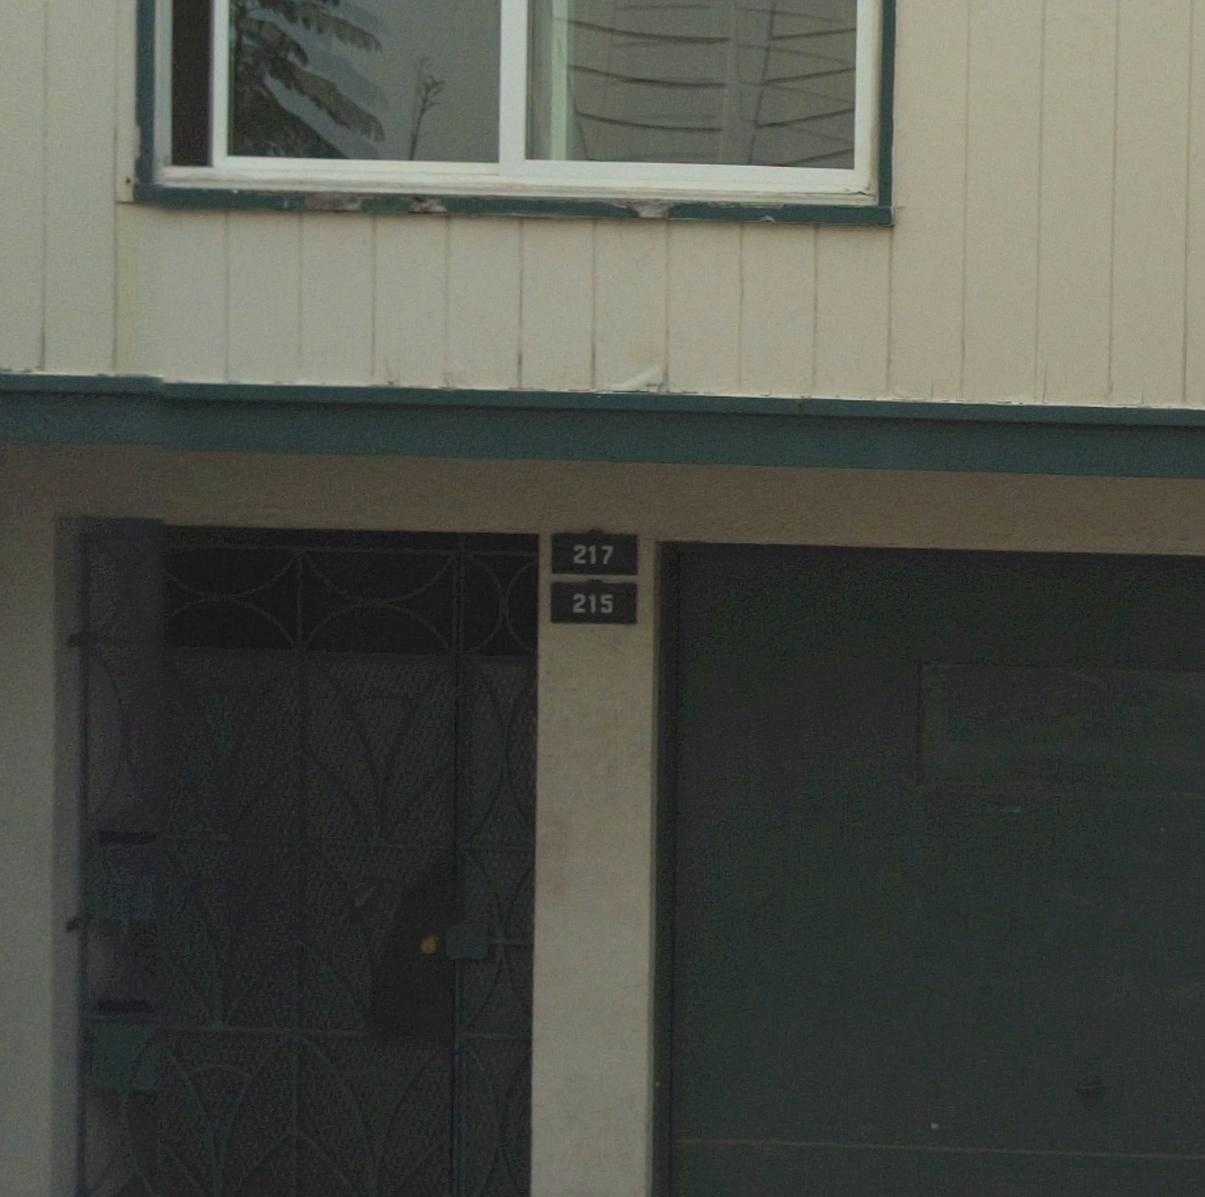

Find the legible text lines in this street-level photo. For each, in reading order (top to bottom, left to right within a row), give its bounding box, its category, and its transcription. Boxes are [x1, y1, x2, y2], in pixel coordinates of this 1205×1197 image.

[571, 543, 618, 566] StreetNumber: 217
[571, 591, 616, 615] StreetNumber: 215